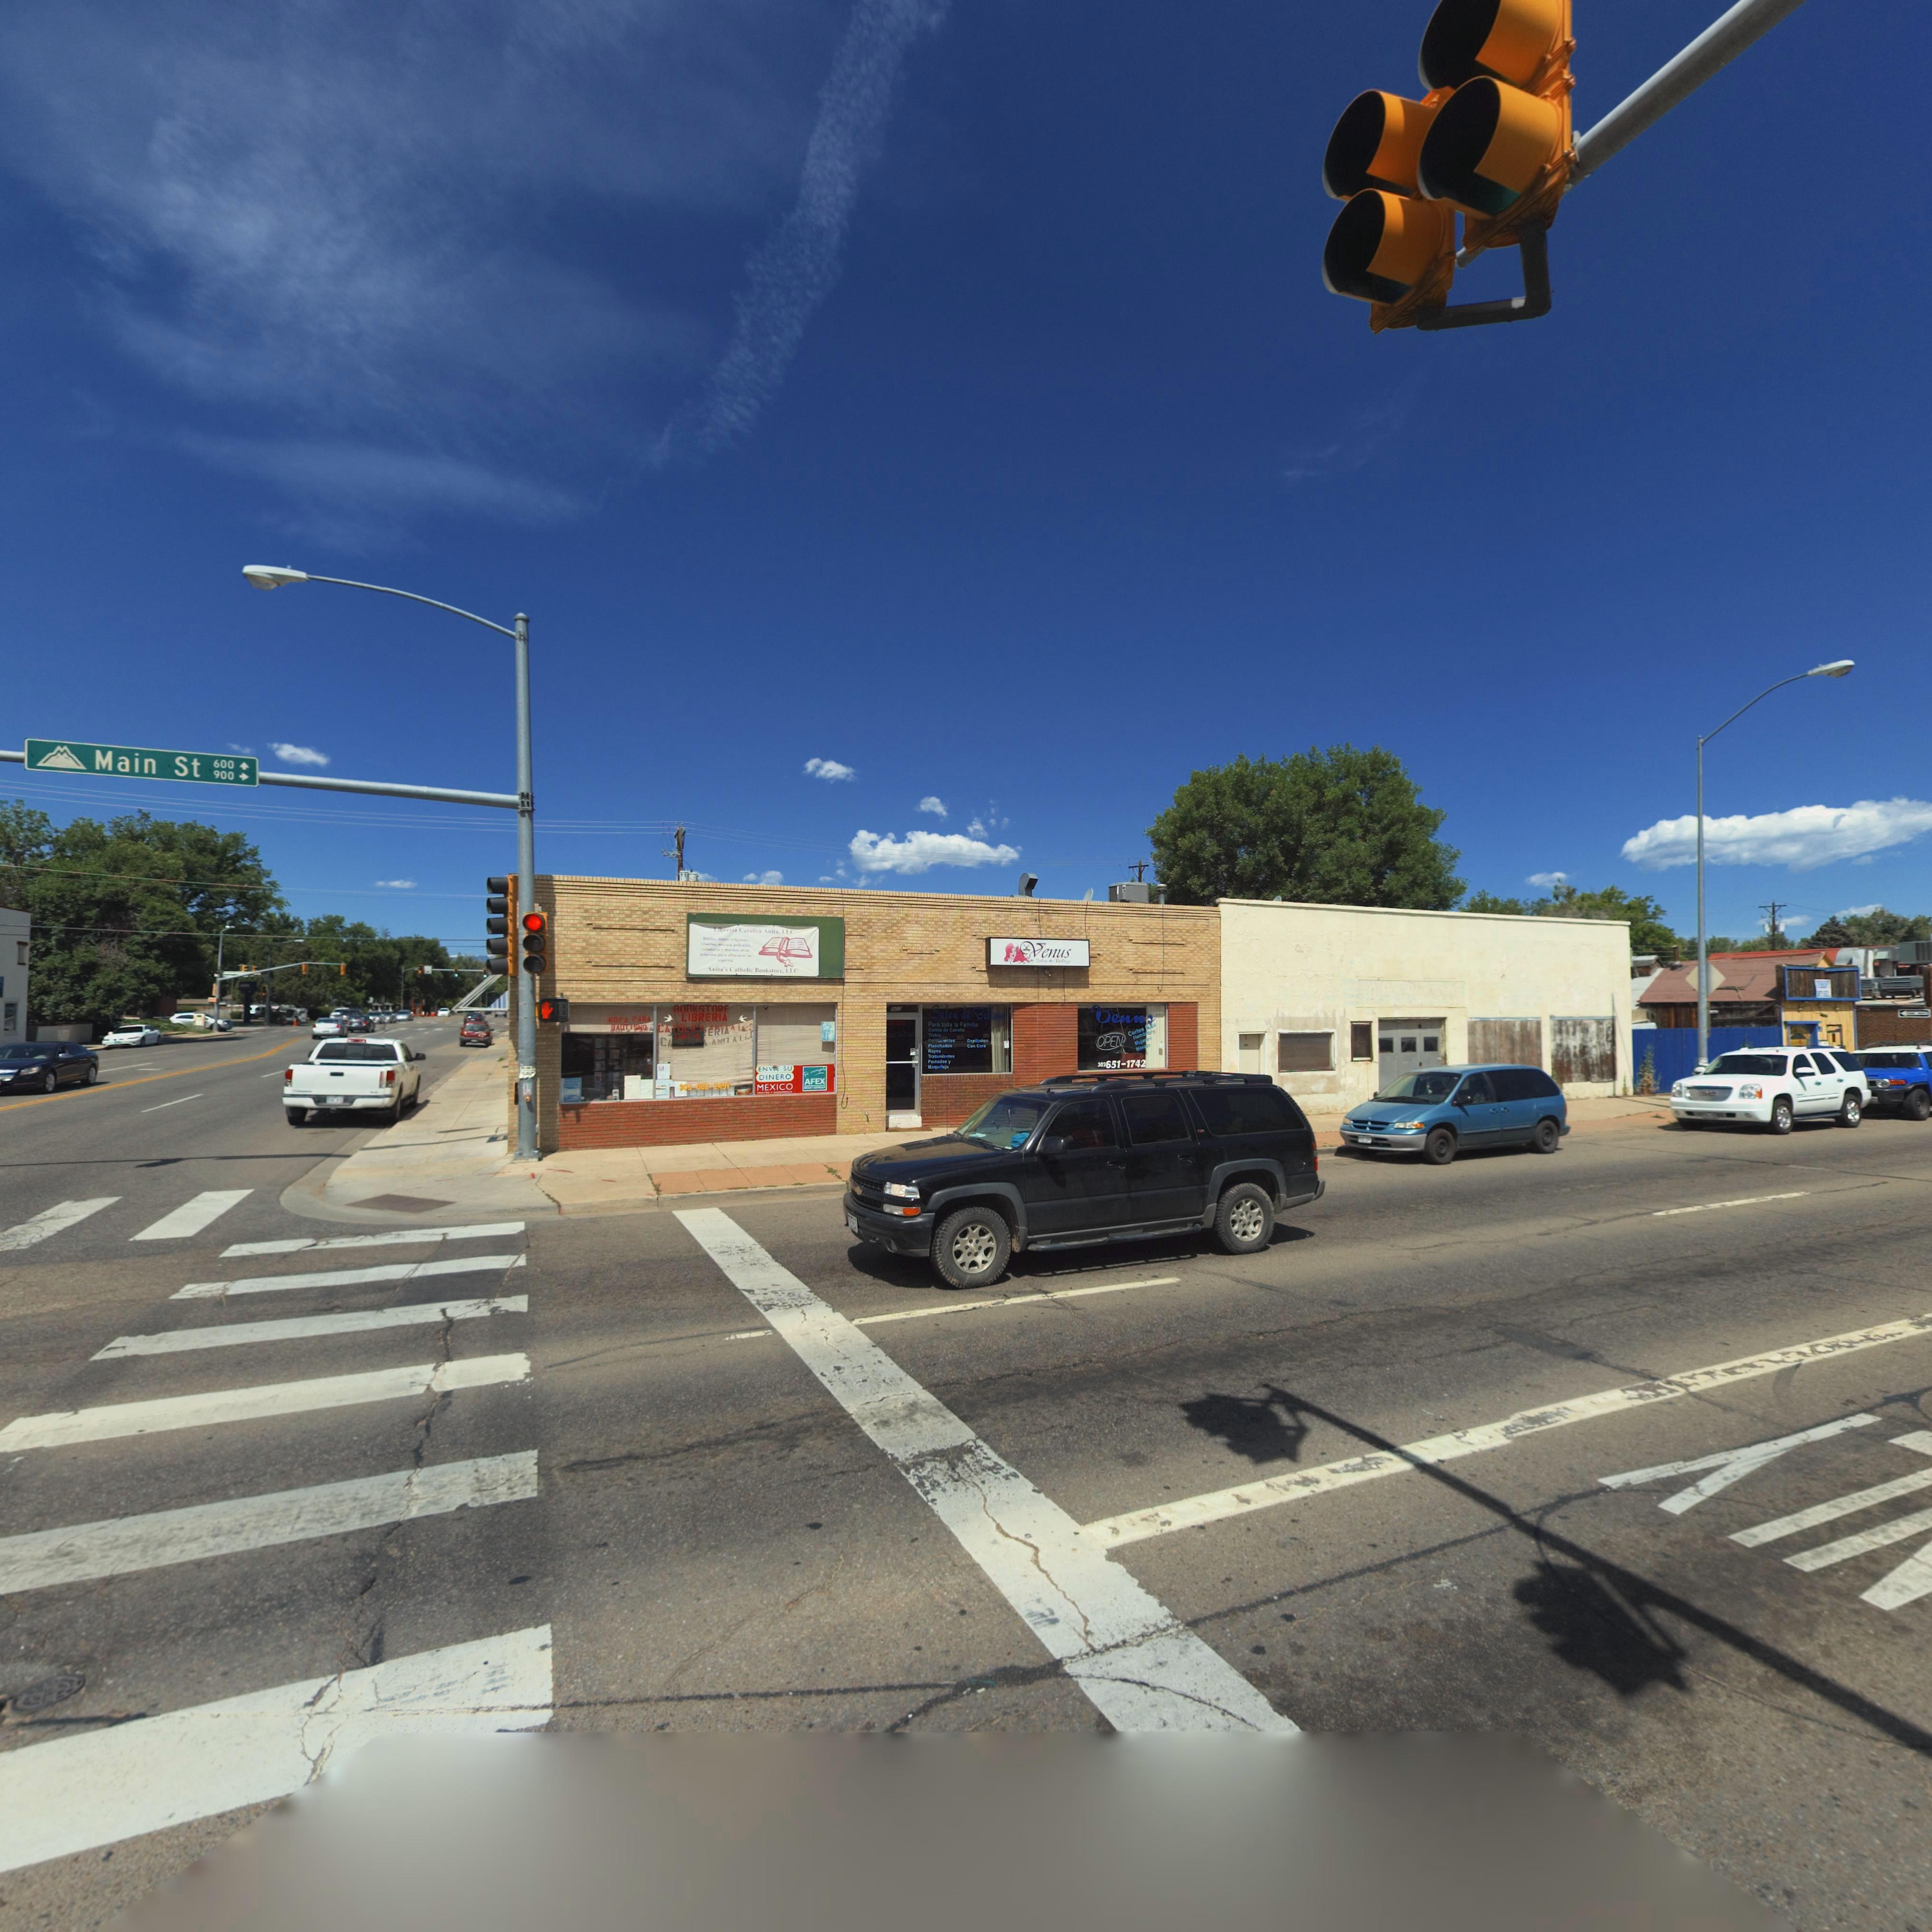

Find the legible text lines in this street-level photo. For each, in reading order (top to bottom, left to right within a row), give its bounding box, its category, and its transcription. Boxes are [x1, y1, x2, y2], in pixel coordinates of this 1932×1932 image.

[94, 748, 202, 778] StreetName: Main St
[213, 758, 235, 770] StreetNumberRange: 600
[213, 770, 251, 781] StreetNumberRange: 900->
[713, 926, 794, 935] BusinessName: L*****a C***lic* An**a **C
[1027, 941, 1072, 958] BusinessName: Venus
[706, 966, 798, 973] BusinessName: *ni*a'* Ca**olic Book**o** LLC
[673, 1004, 730, 1014] BusinessName: BOOKSTORE
[681, 1013, 728, 1022] BusinessName: LIBRERIA
[1090, 1005, 1156, 1024] BusinessName: Ven*s
[657, 1023, 705, 1033] BusinessName: C*TOLIC*